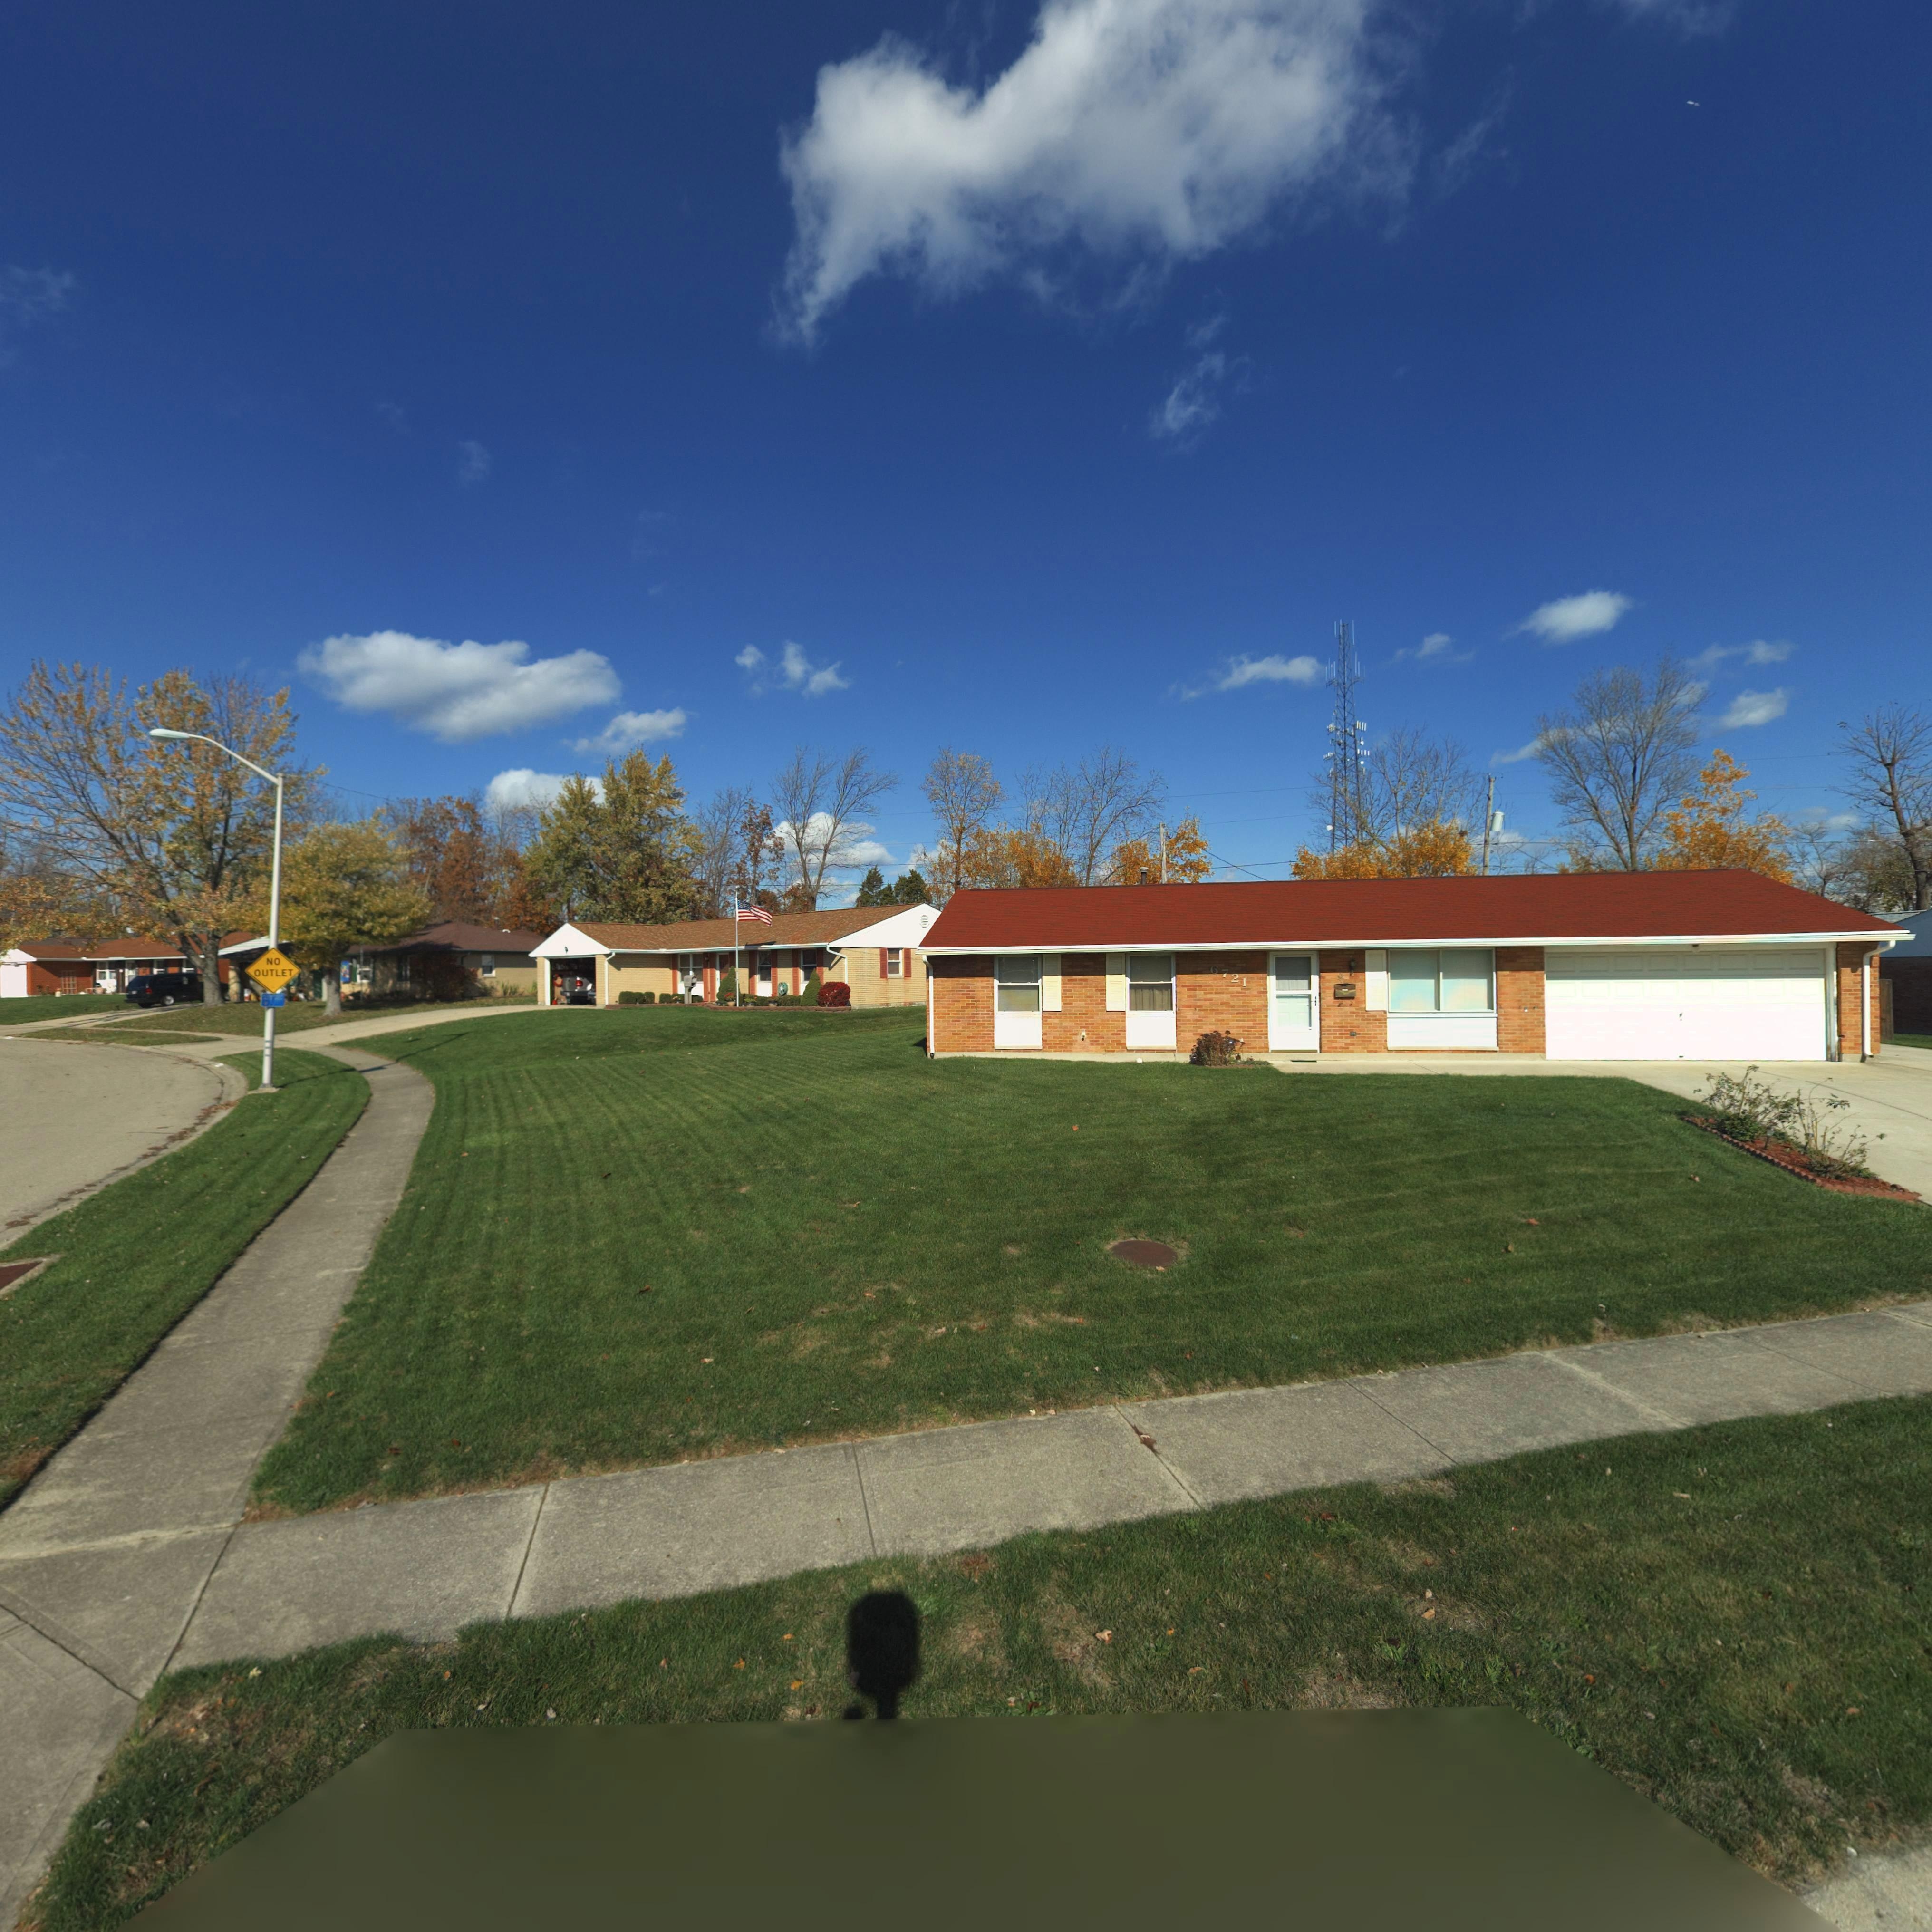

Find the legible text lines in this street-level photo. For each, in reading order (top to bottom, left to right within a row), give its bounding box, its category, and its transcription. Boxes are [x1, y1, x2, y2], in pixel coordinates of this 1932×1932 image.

[1208, 964, 1247, 989] StreetNumber: 6721